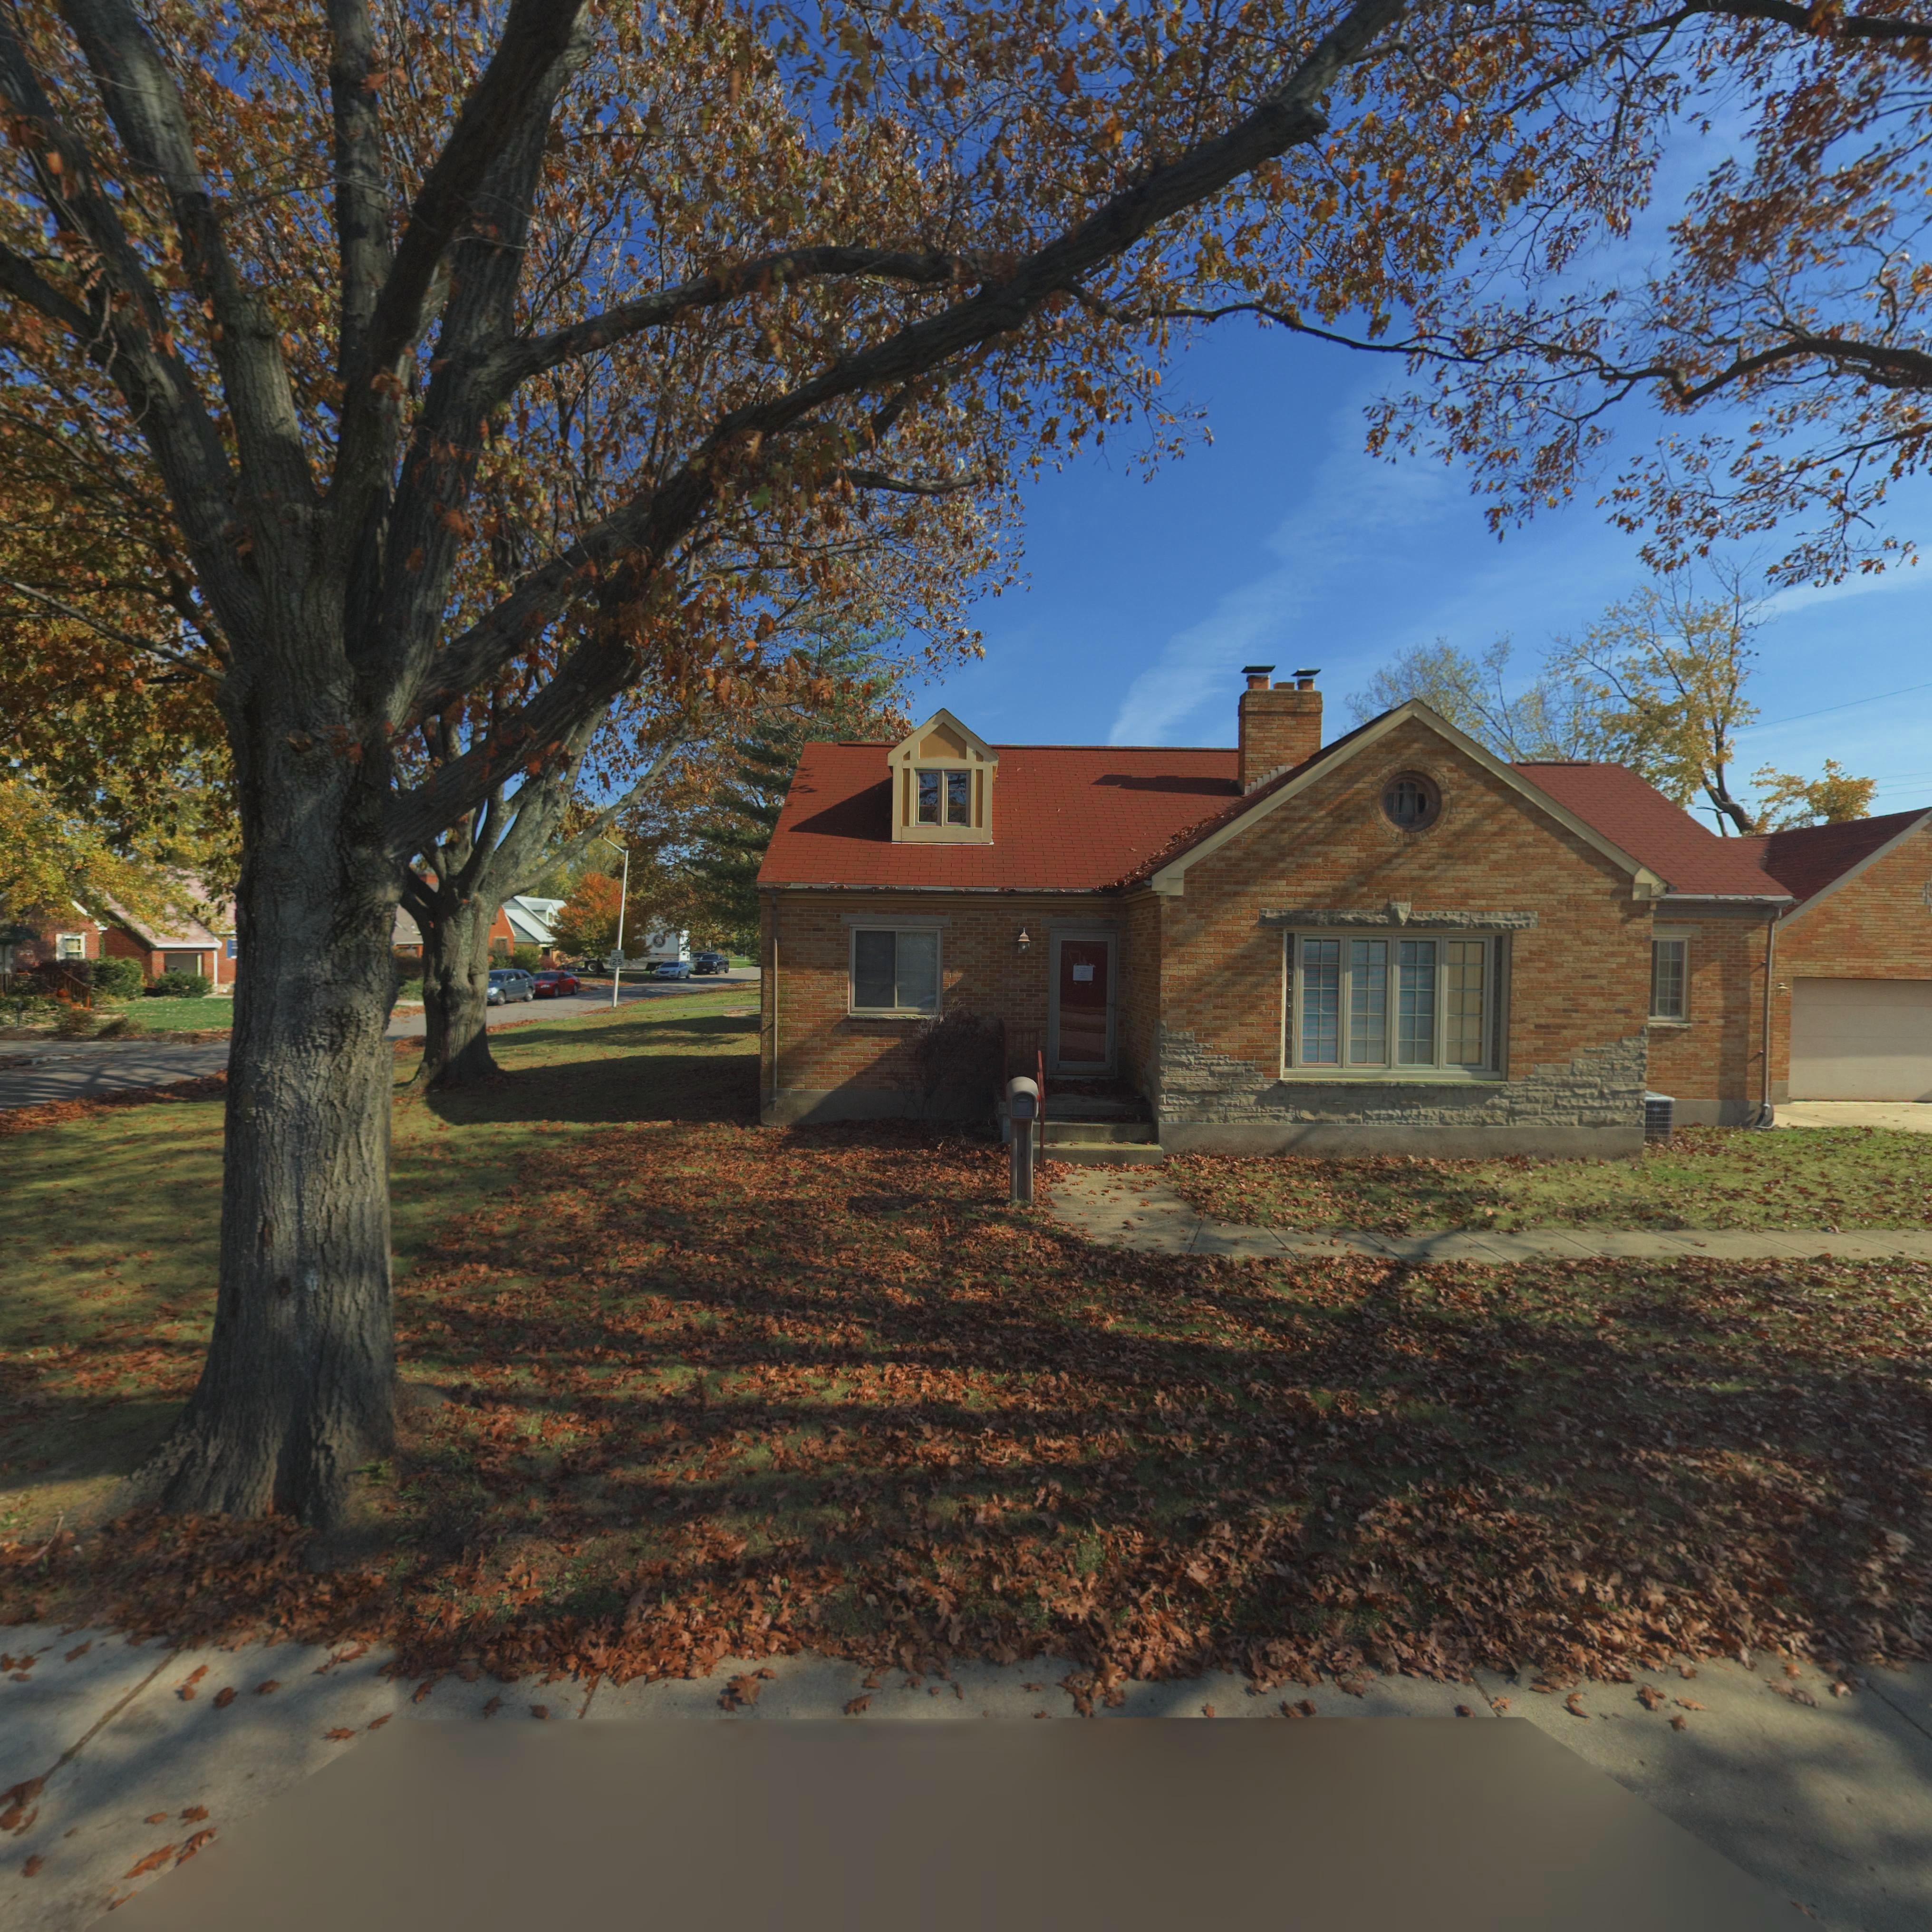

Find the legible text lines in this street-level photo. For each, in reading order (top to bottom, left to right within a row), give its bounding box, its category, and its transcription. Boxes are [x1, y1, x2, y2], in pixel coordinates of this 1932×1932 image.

[612, 958, 623, 966] None: 25